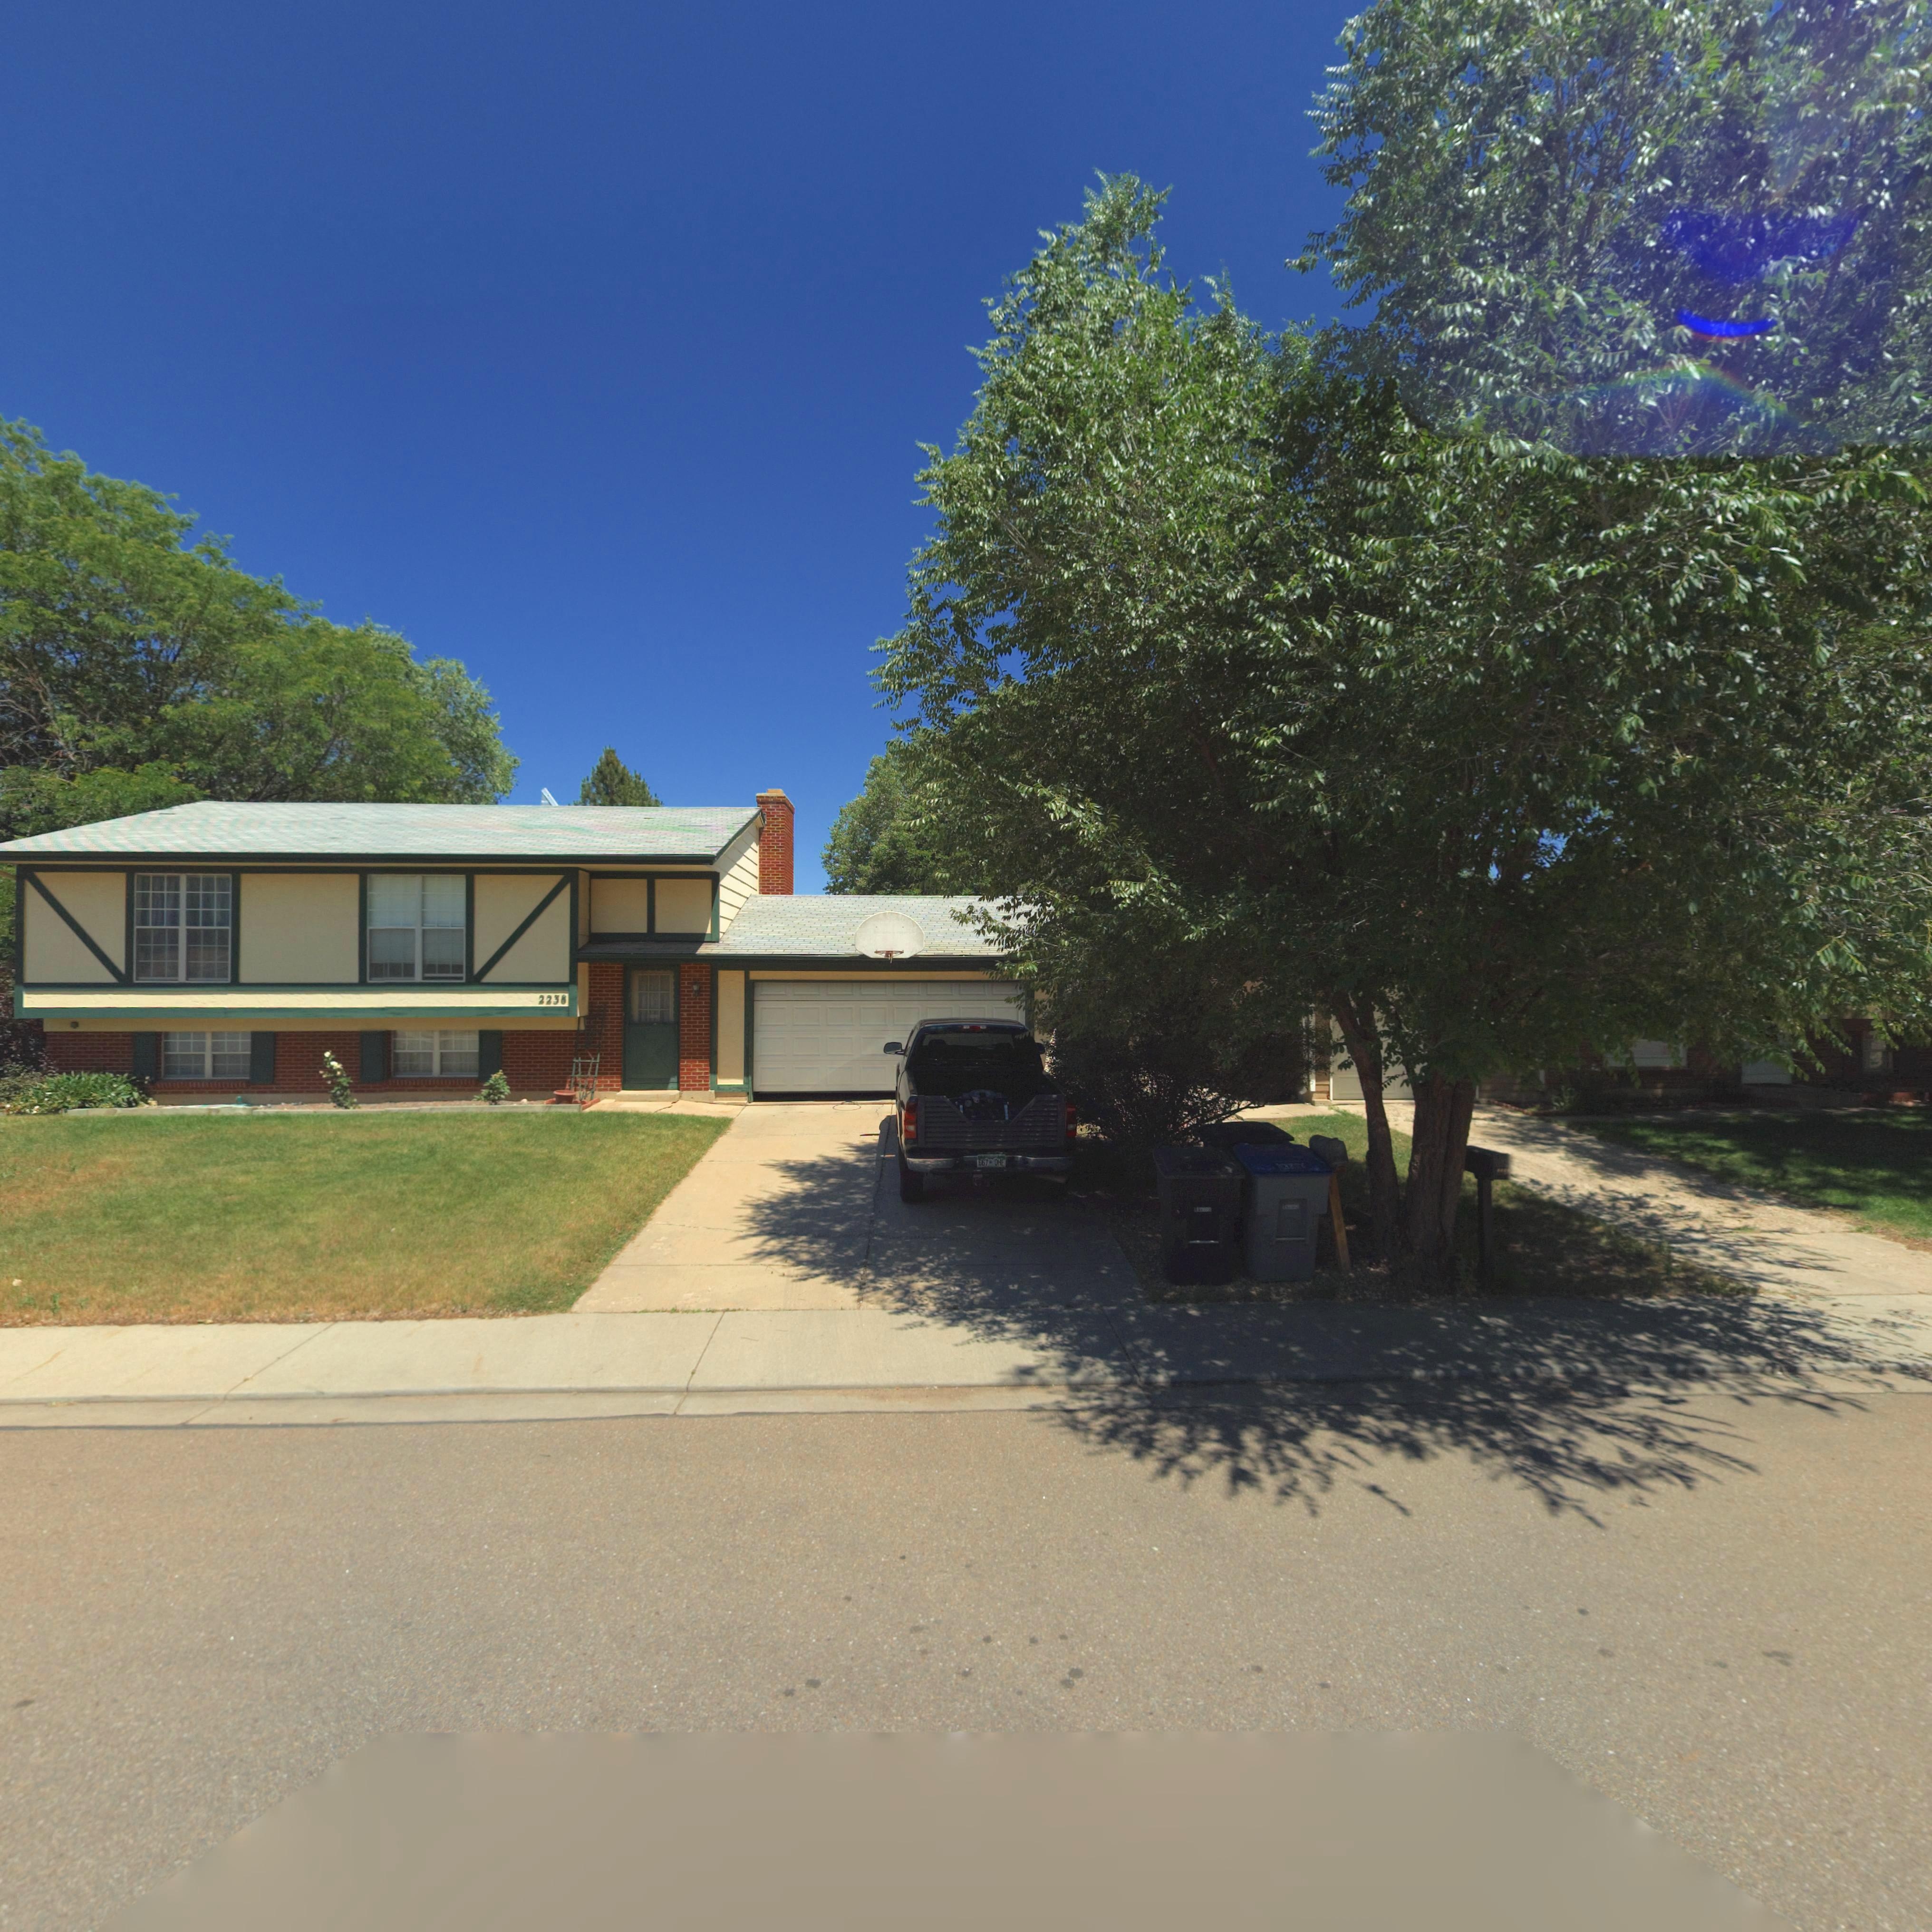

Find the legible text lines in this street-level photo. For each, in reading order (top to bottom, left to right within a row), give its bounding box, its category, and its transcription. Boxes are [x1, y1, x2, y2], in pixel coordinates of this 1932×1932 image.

[538, 994, 566, 1005] StreetNumber: 2238